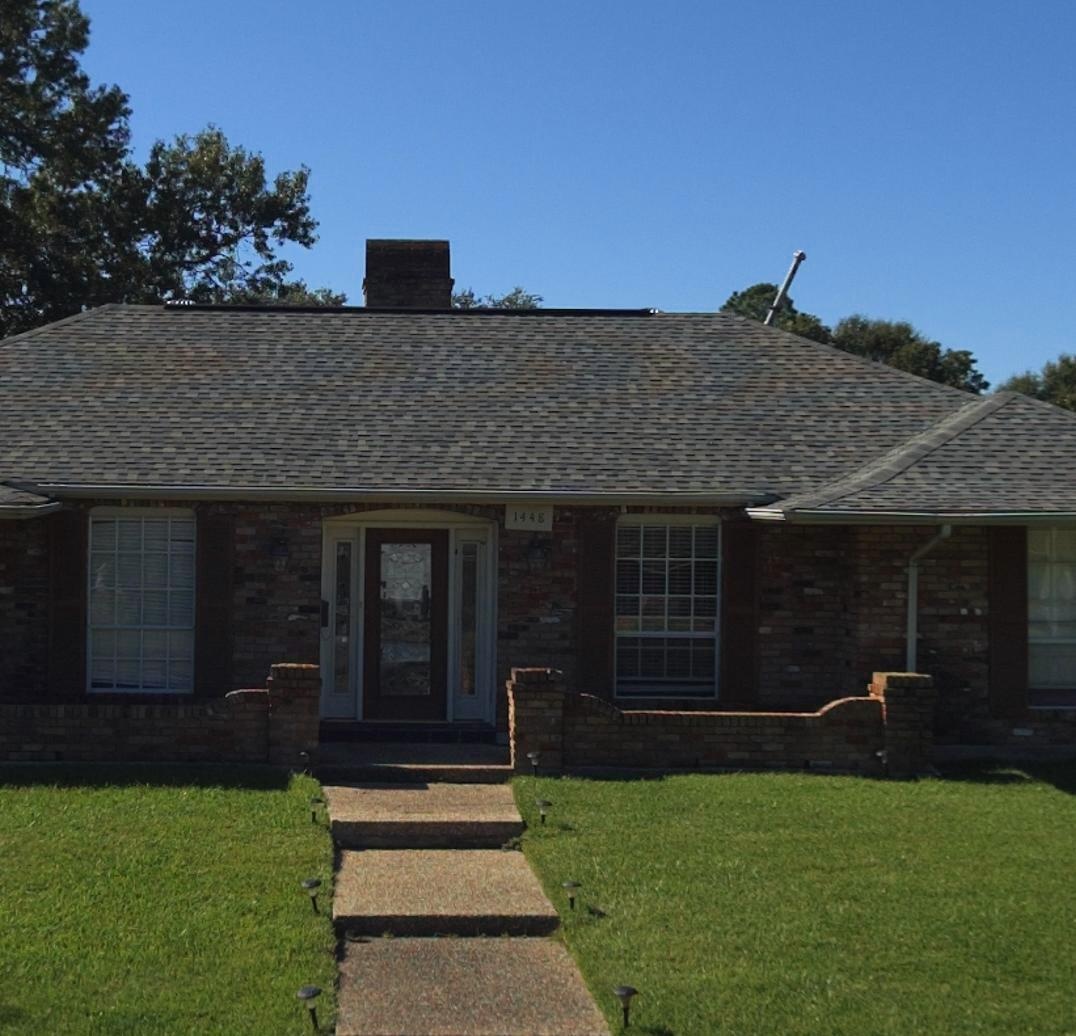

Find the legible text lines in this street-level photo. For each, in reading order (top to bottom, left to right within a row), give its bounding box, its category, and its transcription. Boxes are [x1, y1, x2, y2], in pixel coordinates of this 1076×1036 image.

[511, 509, 547, 525] StreetNumber: 1448